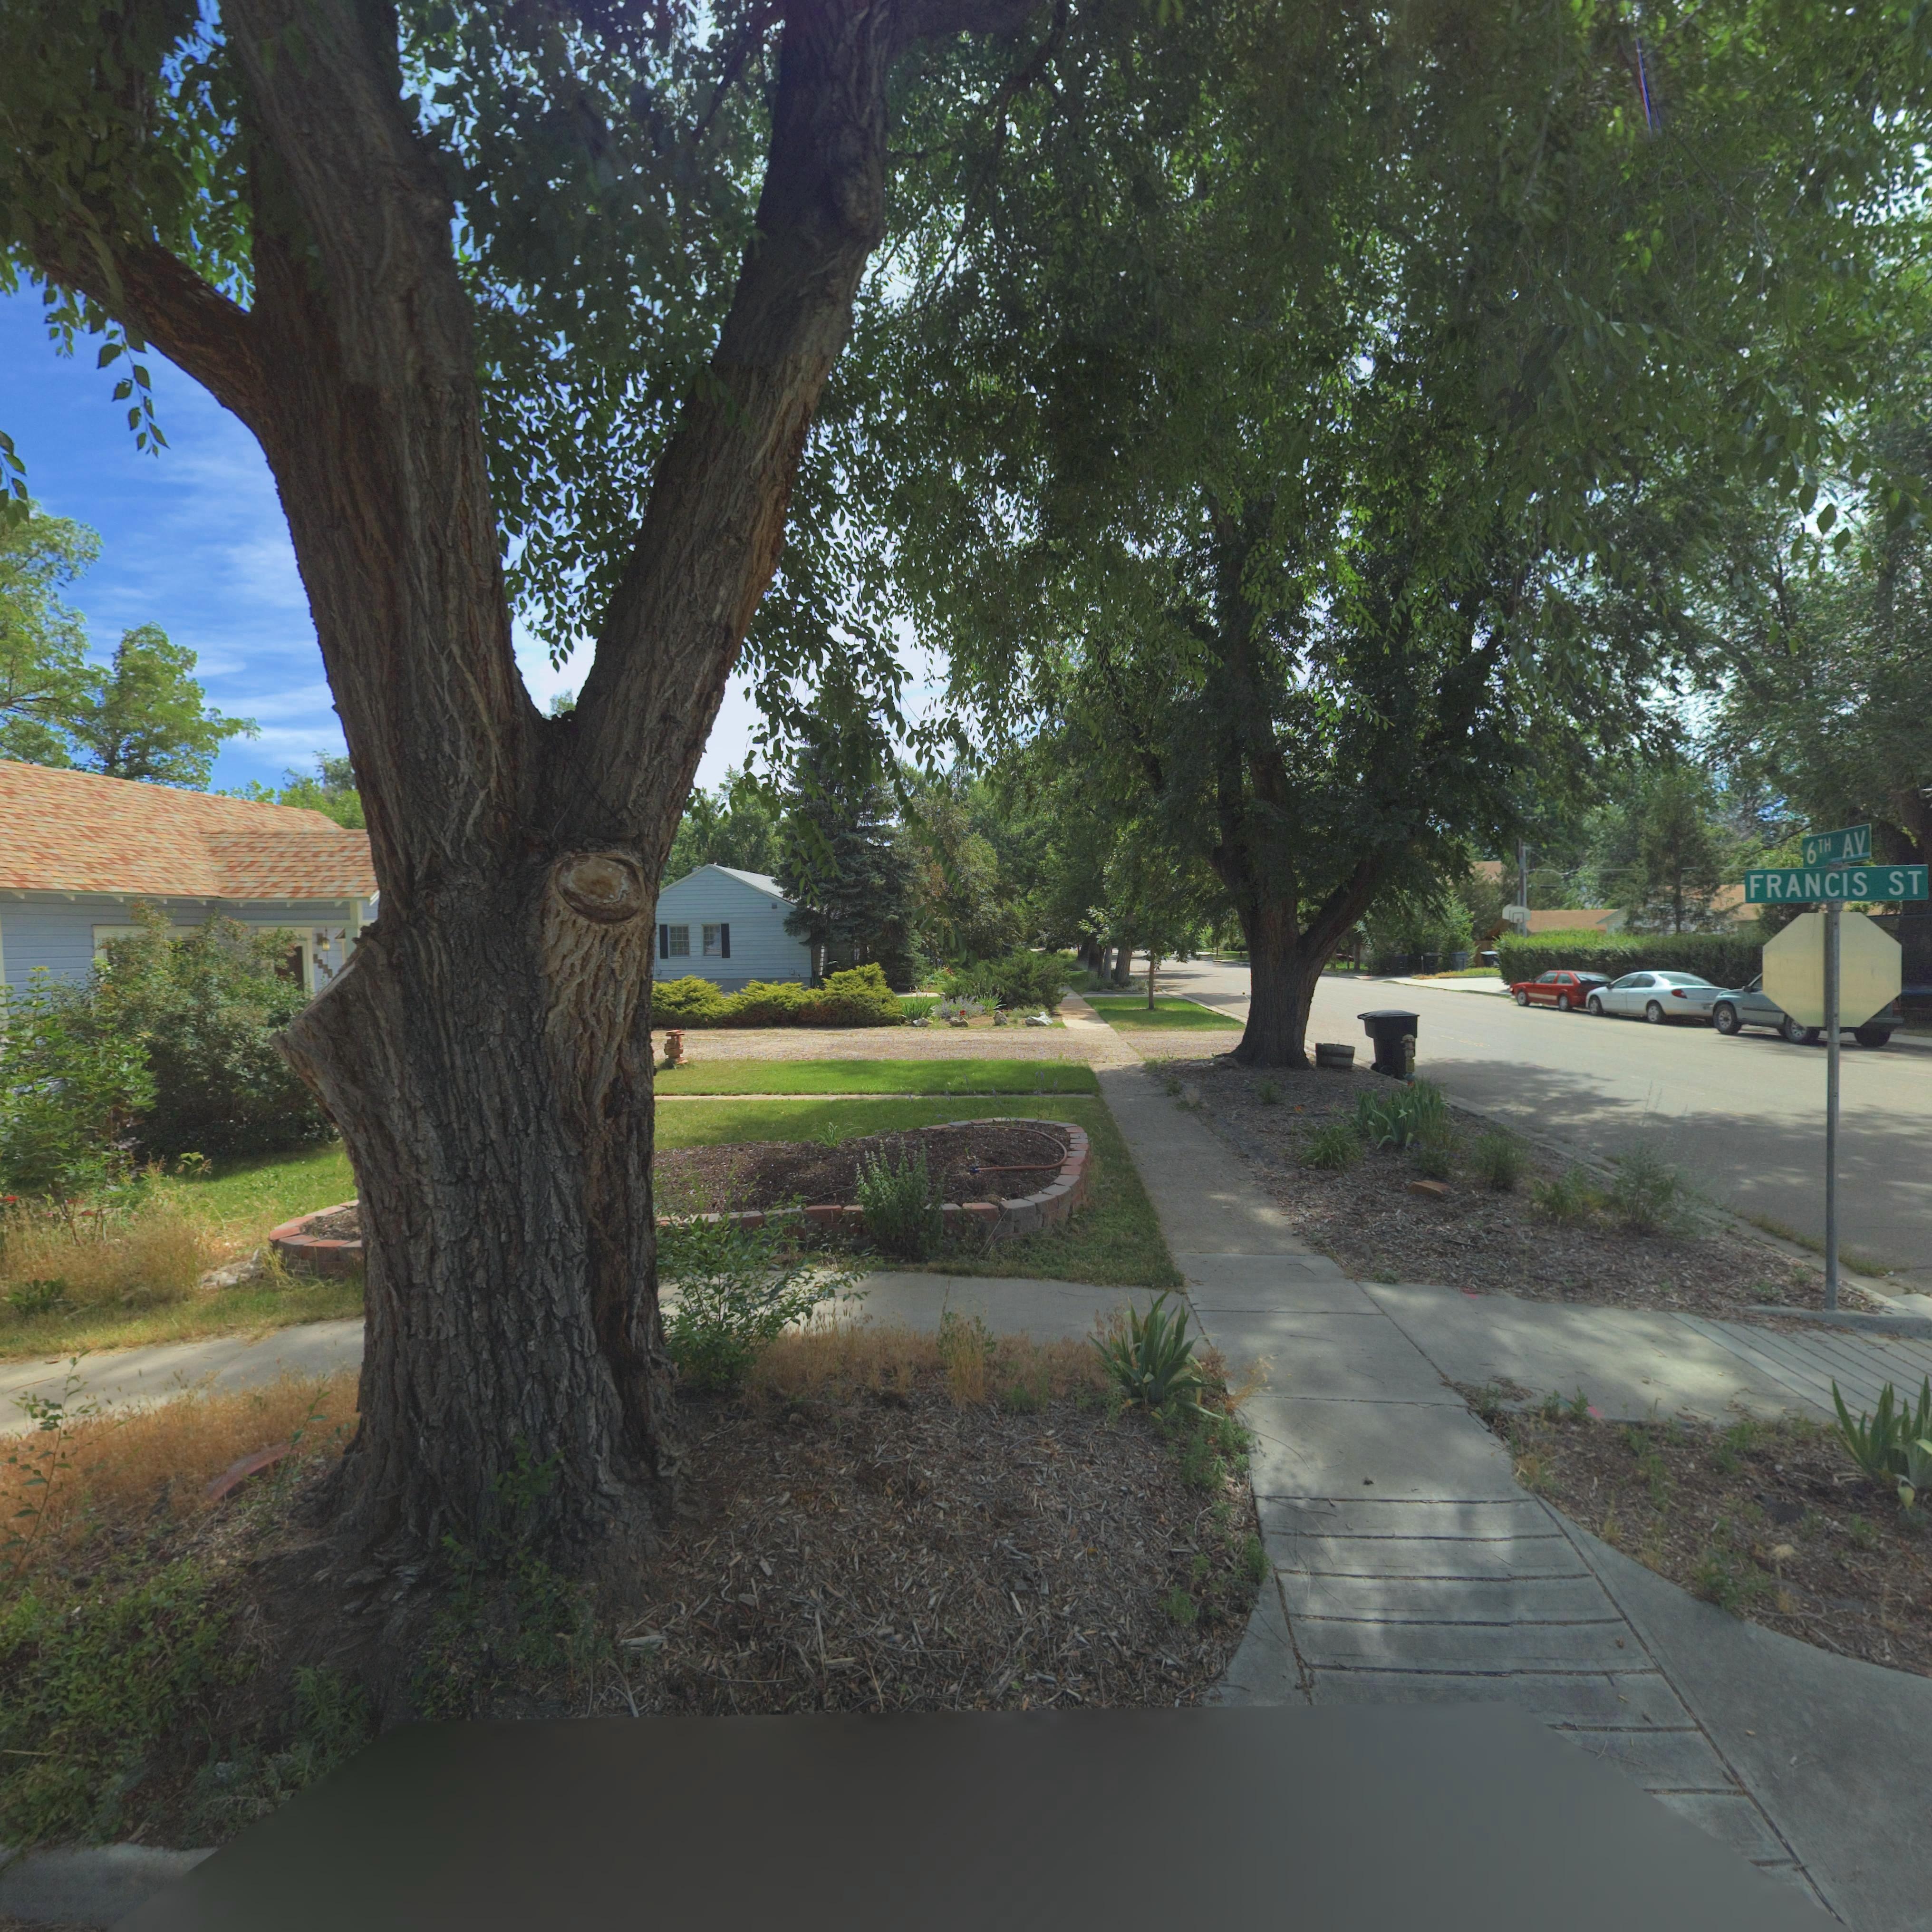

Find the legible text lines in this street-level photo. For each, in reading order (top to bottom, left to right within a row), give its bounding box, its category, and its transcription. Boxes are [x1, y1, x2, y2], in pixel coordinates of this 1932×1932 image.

[1806, 830, 1866, 864] StreetName: 6TH AV
[1750, 870, 1922, 898] StreetName: FRANCIS ST